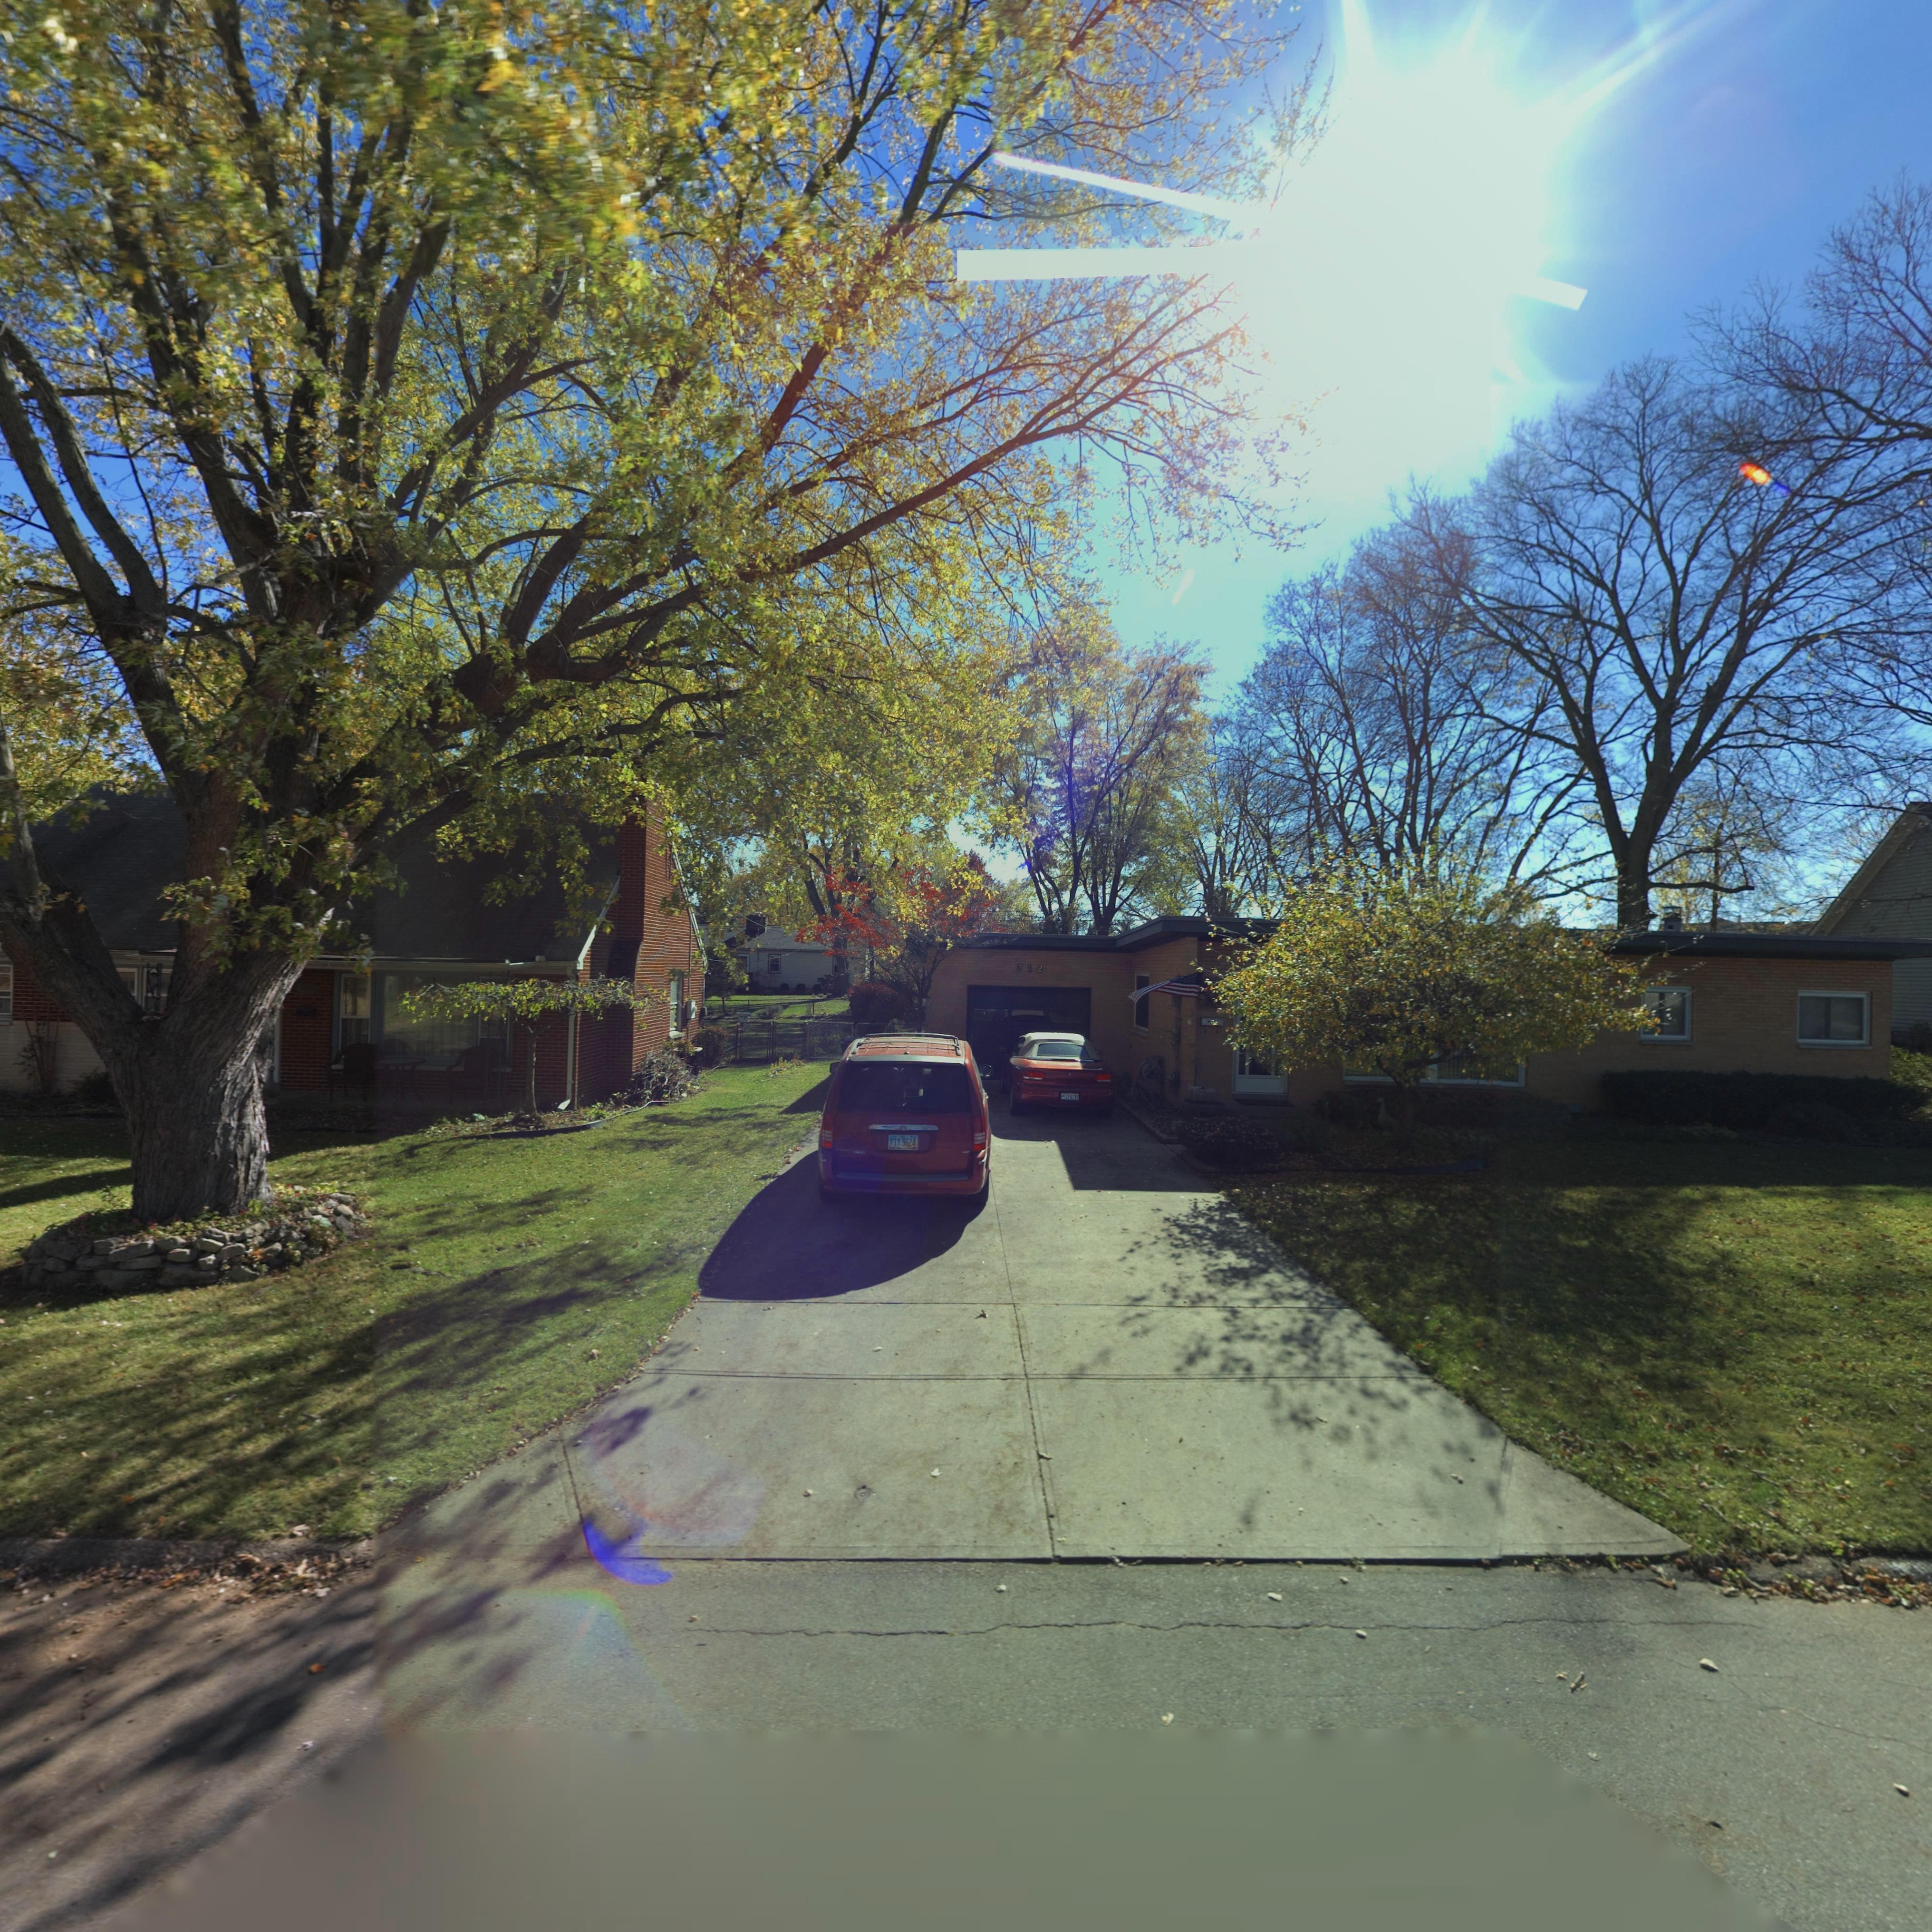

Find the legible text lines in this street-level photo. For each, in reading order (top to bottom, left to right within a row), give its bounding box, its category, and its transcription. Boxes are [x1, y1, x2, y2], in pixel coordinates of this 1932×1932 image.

[1016, 963, 1043, 973] StreetNumber: 312